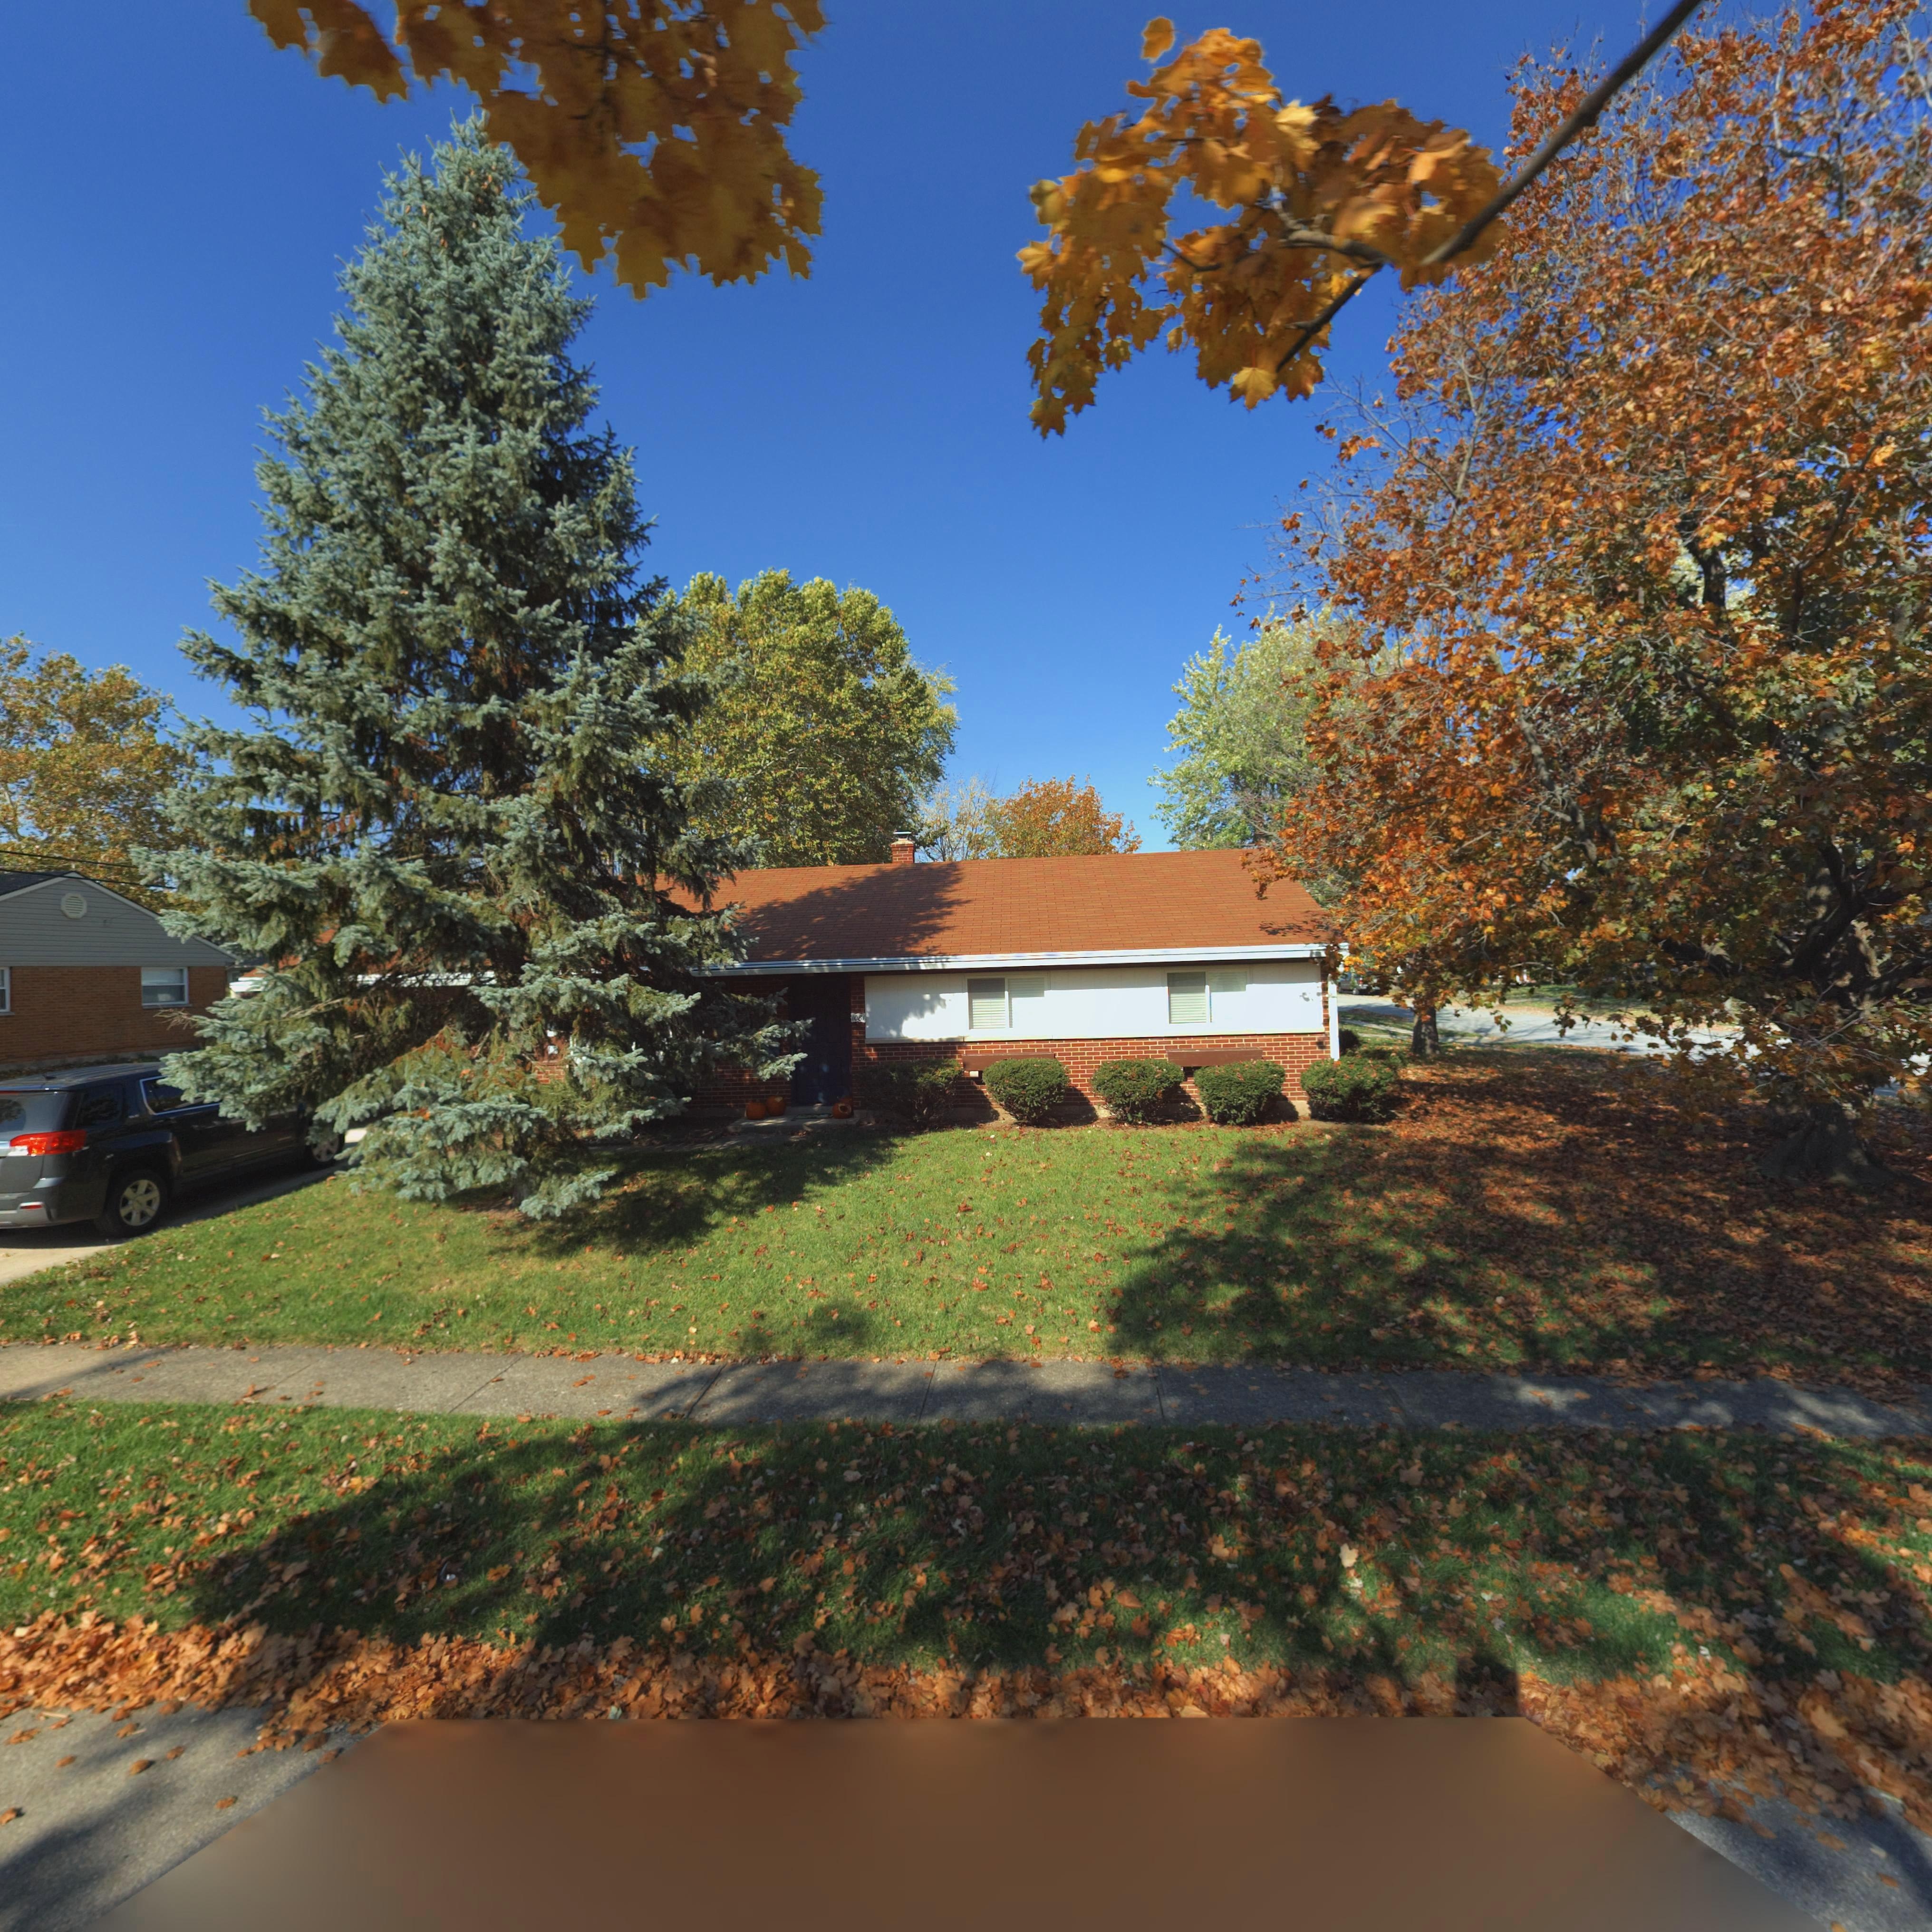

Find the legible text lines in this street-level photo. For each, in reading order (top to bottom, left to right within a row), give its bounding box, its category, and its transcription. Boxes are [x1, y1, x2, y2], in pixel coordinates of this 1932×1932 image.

[851, 1014, 865, 1022] StreetNumber: 1081